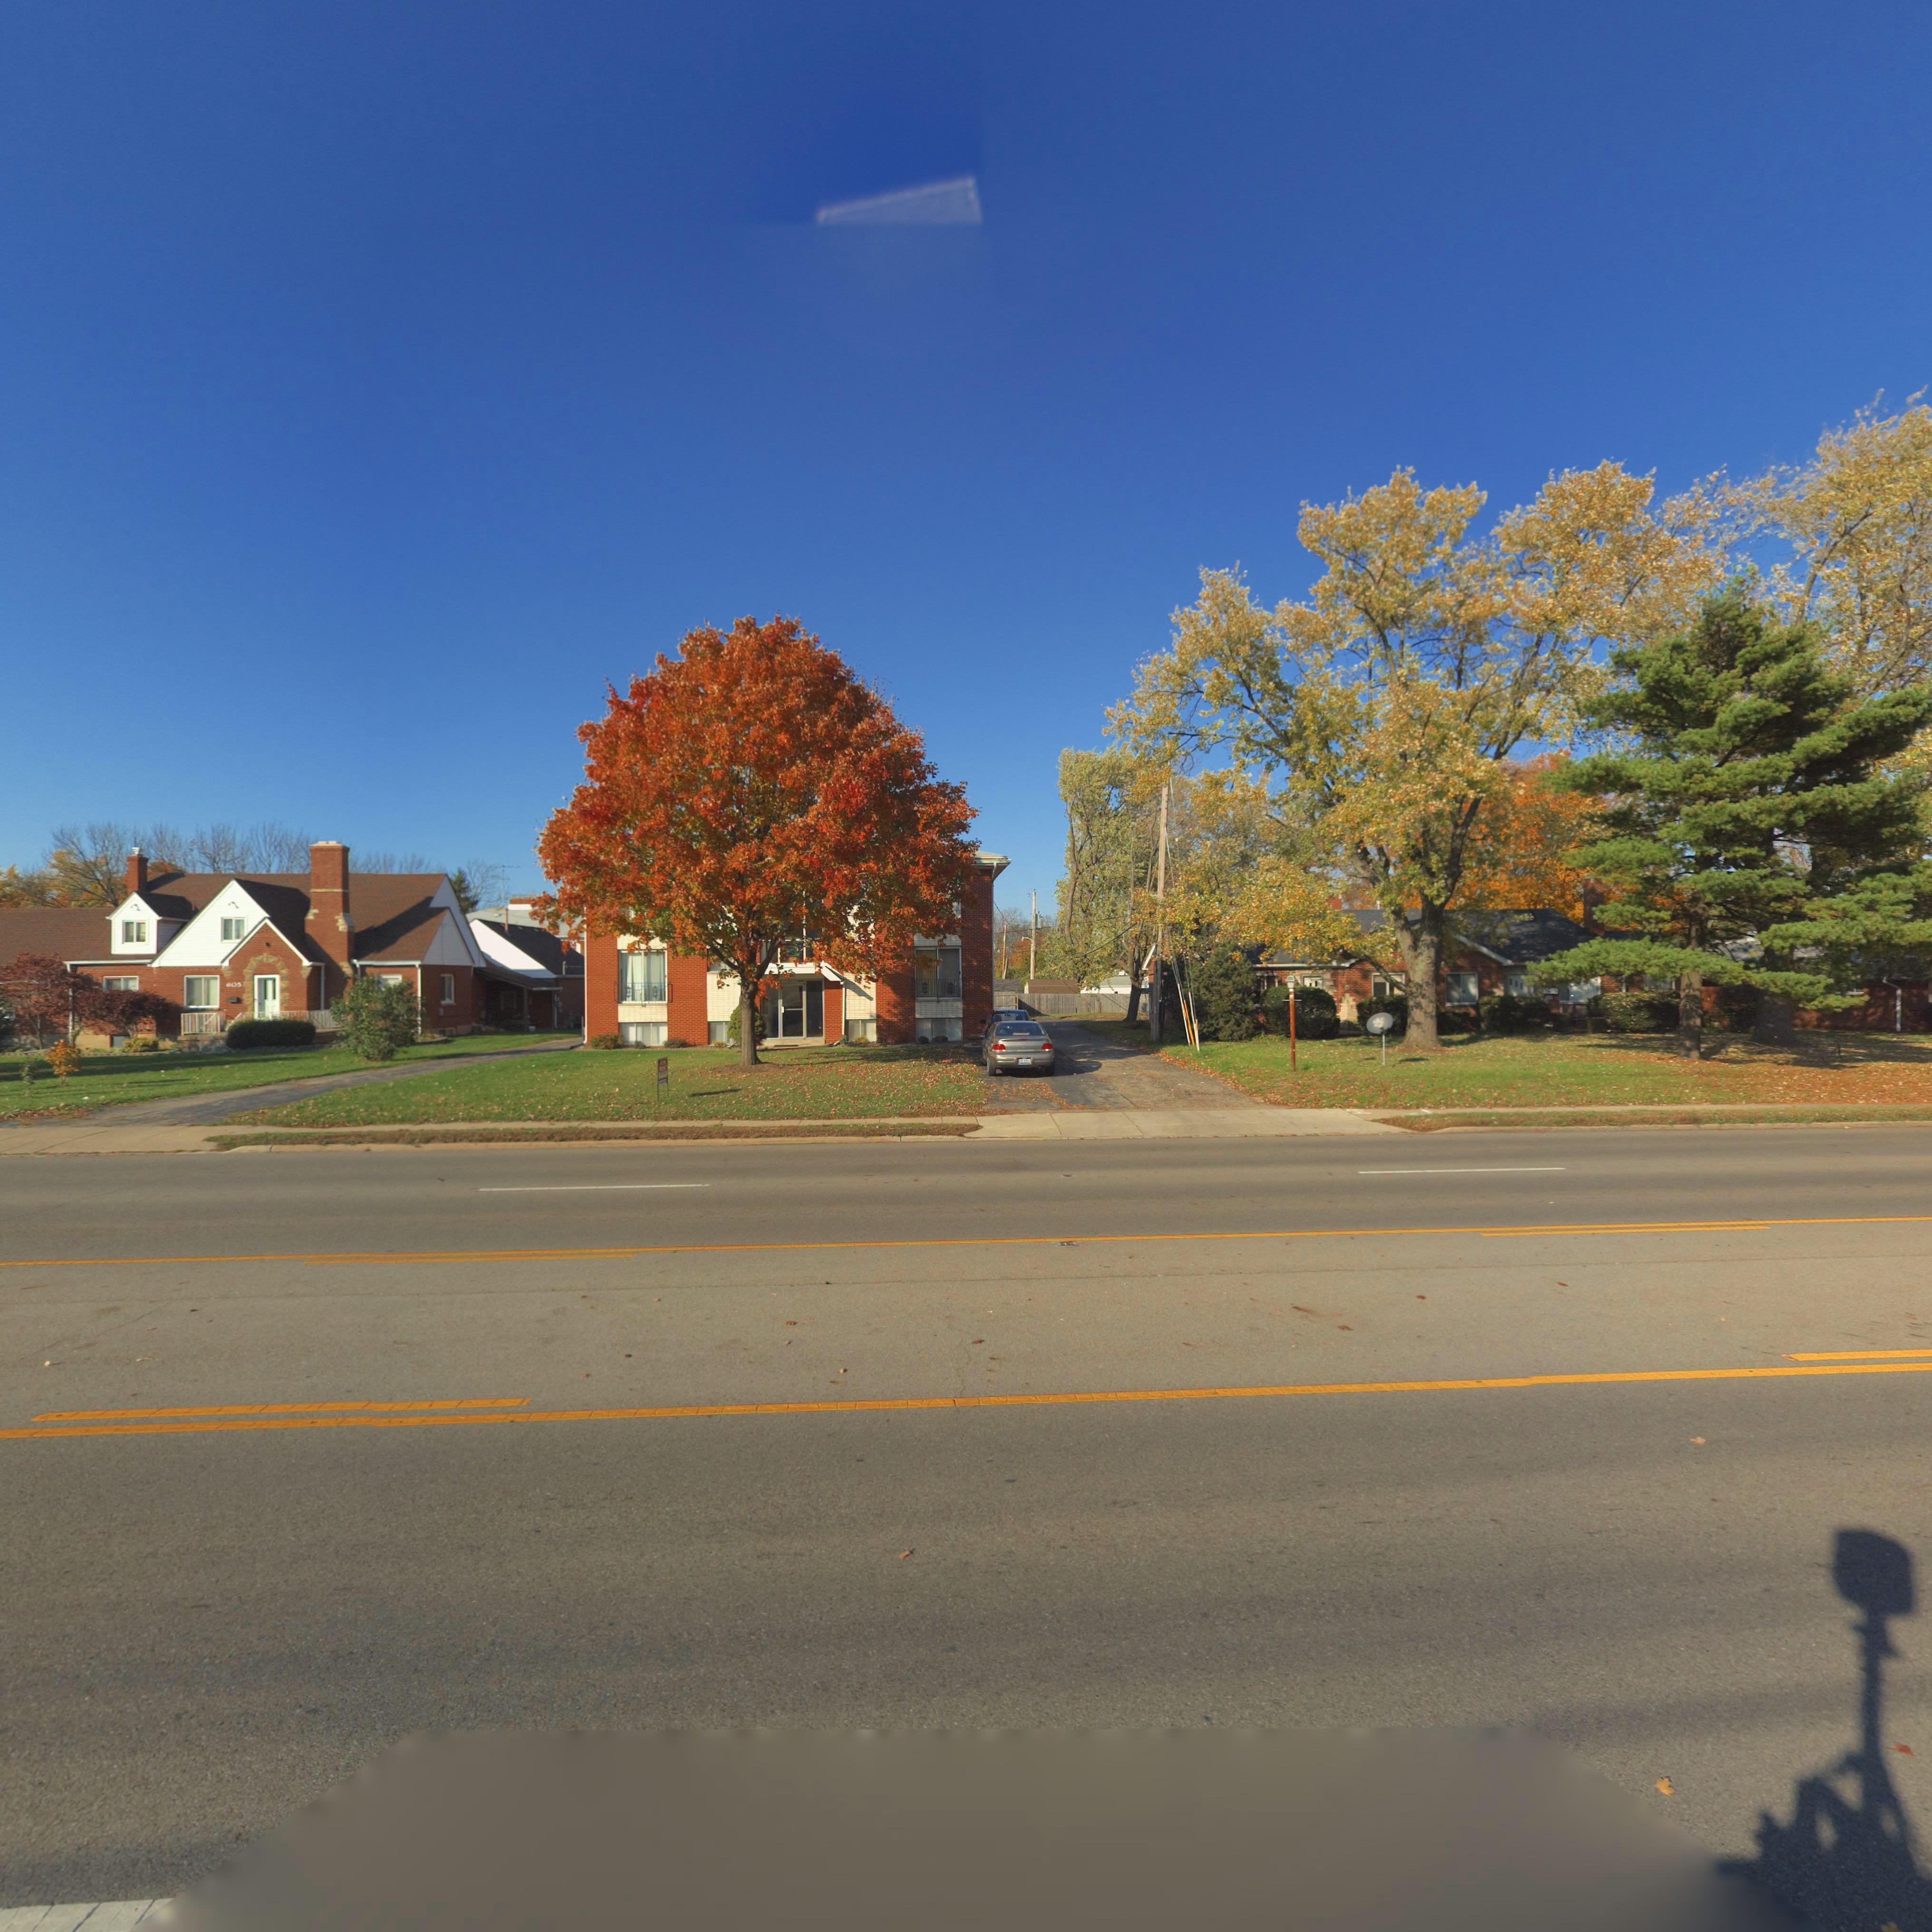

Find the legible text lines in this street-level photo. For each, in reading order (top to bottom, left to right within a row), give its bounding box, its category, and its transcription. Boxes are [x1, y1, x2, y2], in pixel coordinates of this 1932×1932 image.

[225, 981, 242, 988] StreetNumber: 605